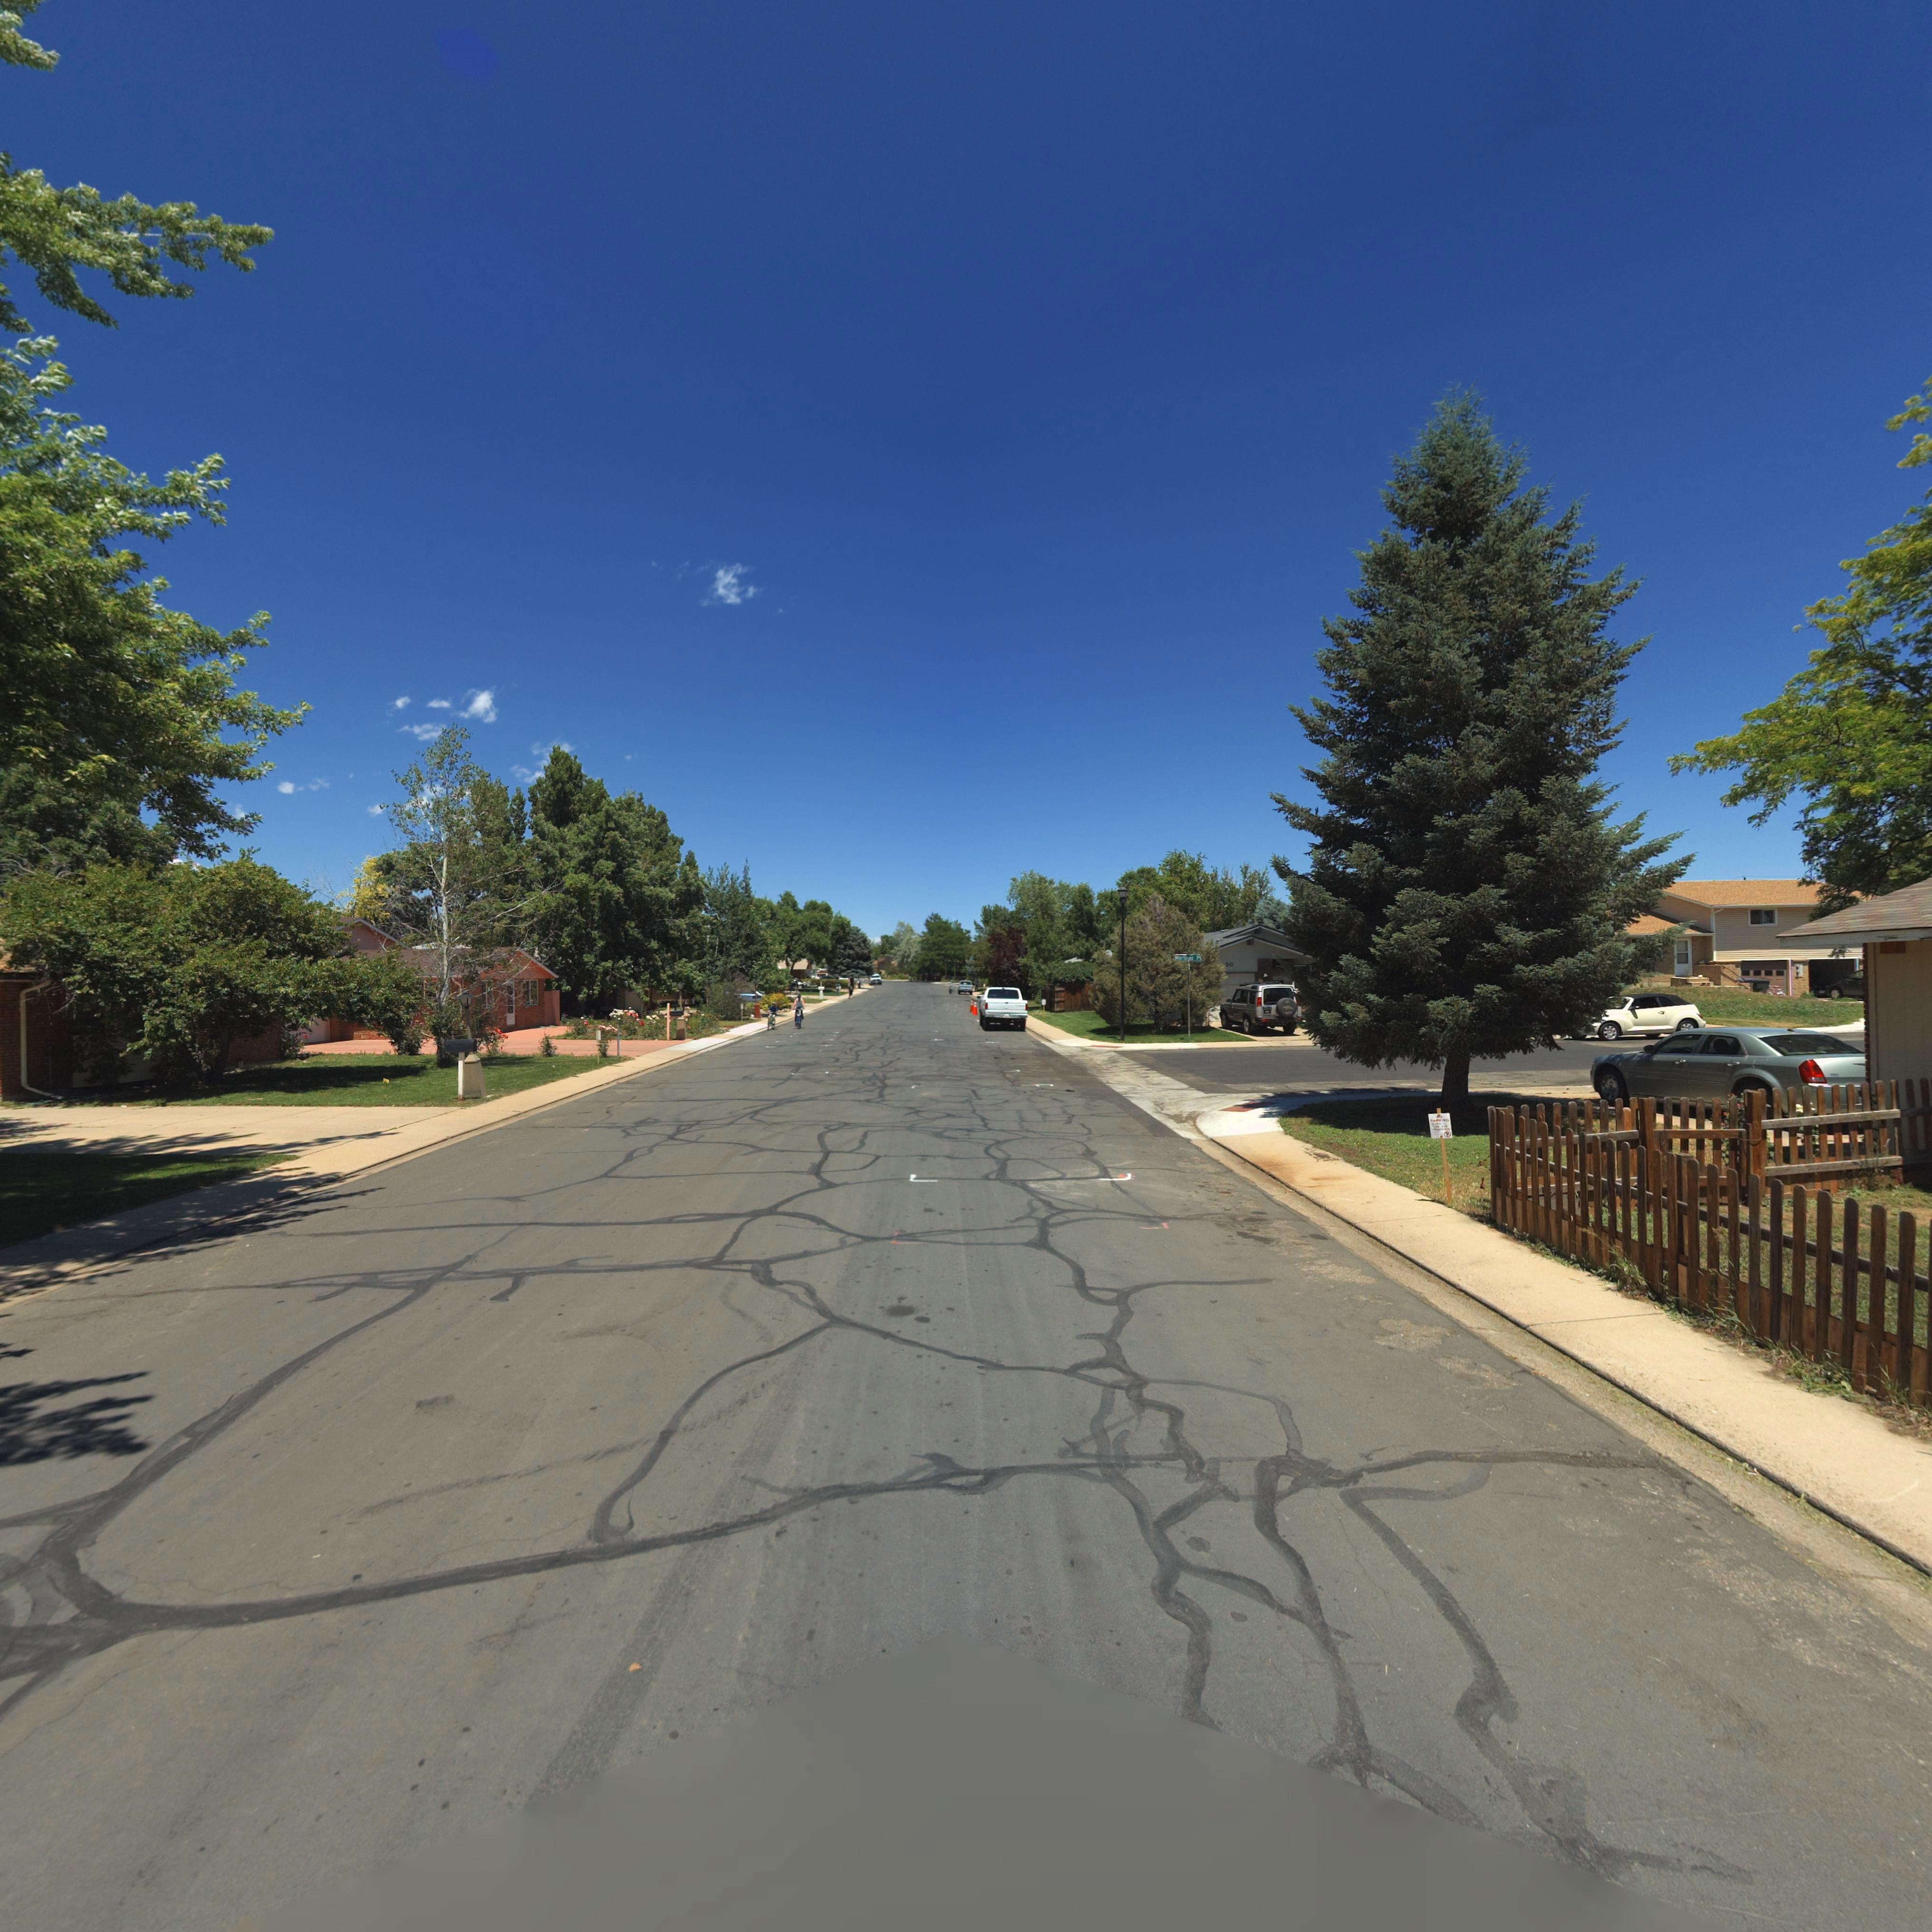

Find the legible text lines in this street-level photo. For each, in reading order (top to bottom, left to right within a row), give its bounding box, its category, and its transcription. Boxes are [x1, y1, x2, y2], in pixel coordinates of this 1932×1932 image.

[1175, 955, 1201, 960] StreetName: Martinez Pl
[1225, 962, 1233, 966] StreetNumber: 20